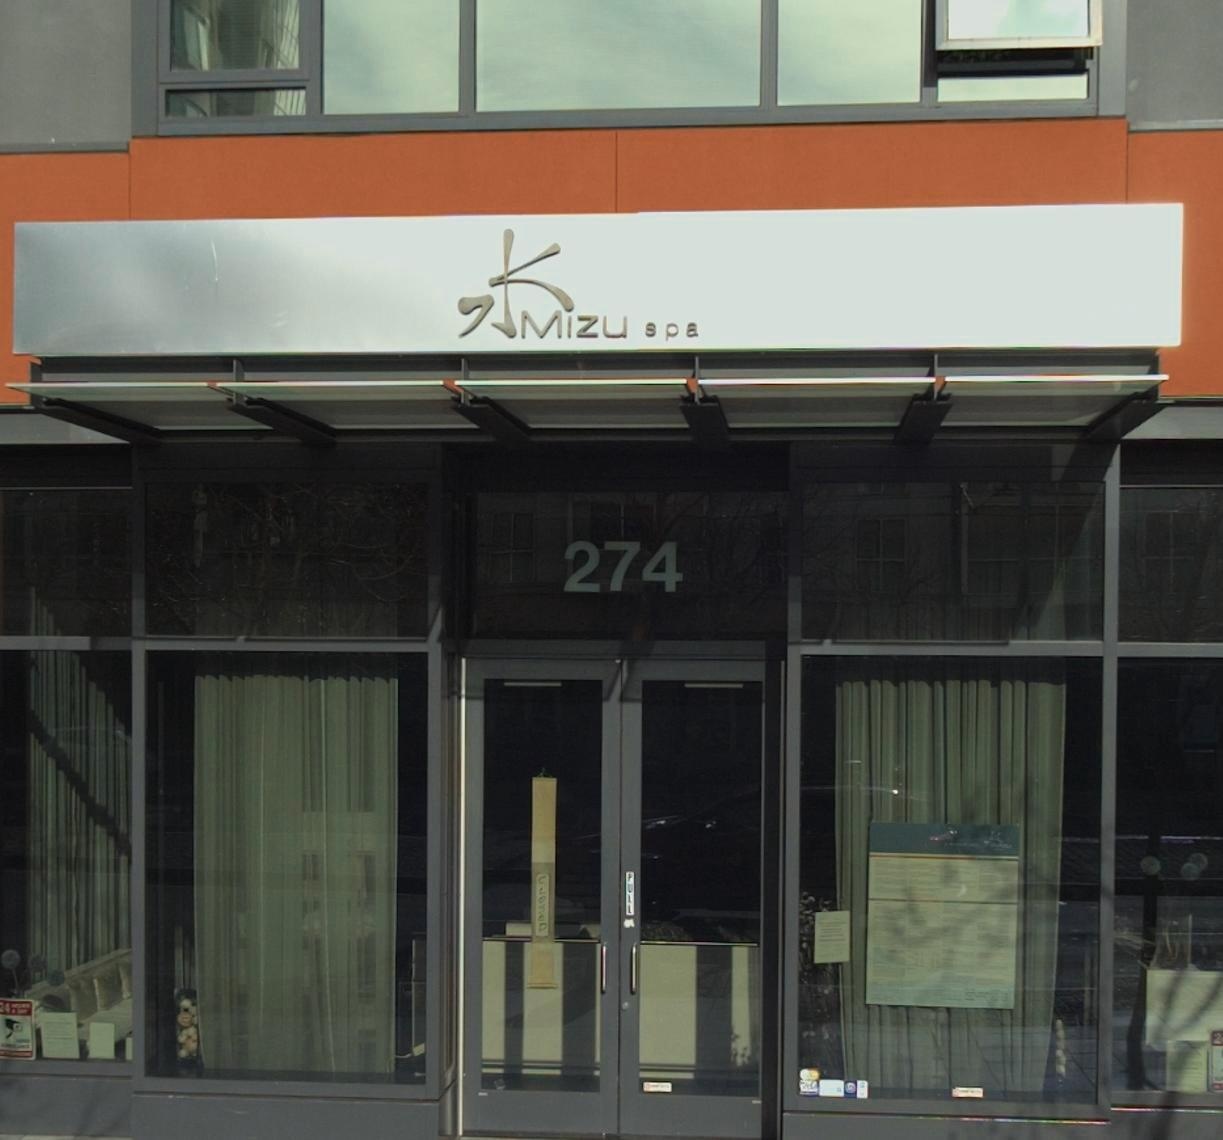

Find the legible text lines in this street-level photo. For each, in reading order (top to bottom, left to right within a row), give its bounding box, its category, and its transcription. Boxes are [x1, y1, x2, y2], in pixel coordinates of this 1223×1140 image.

[518, 306, 702, 345] BusinessName: MIZU spa
[559, 538, 685, 595] StreetNumber: 274
[535, 871, 550, 935] None: CLOS*D
[625, 871, 635, 916] None: PULL